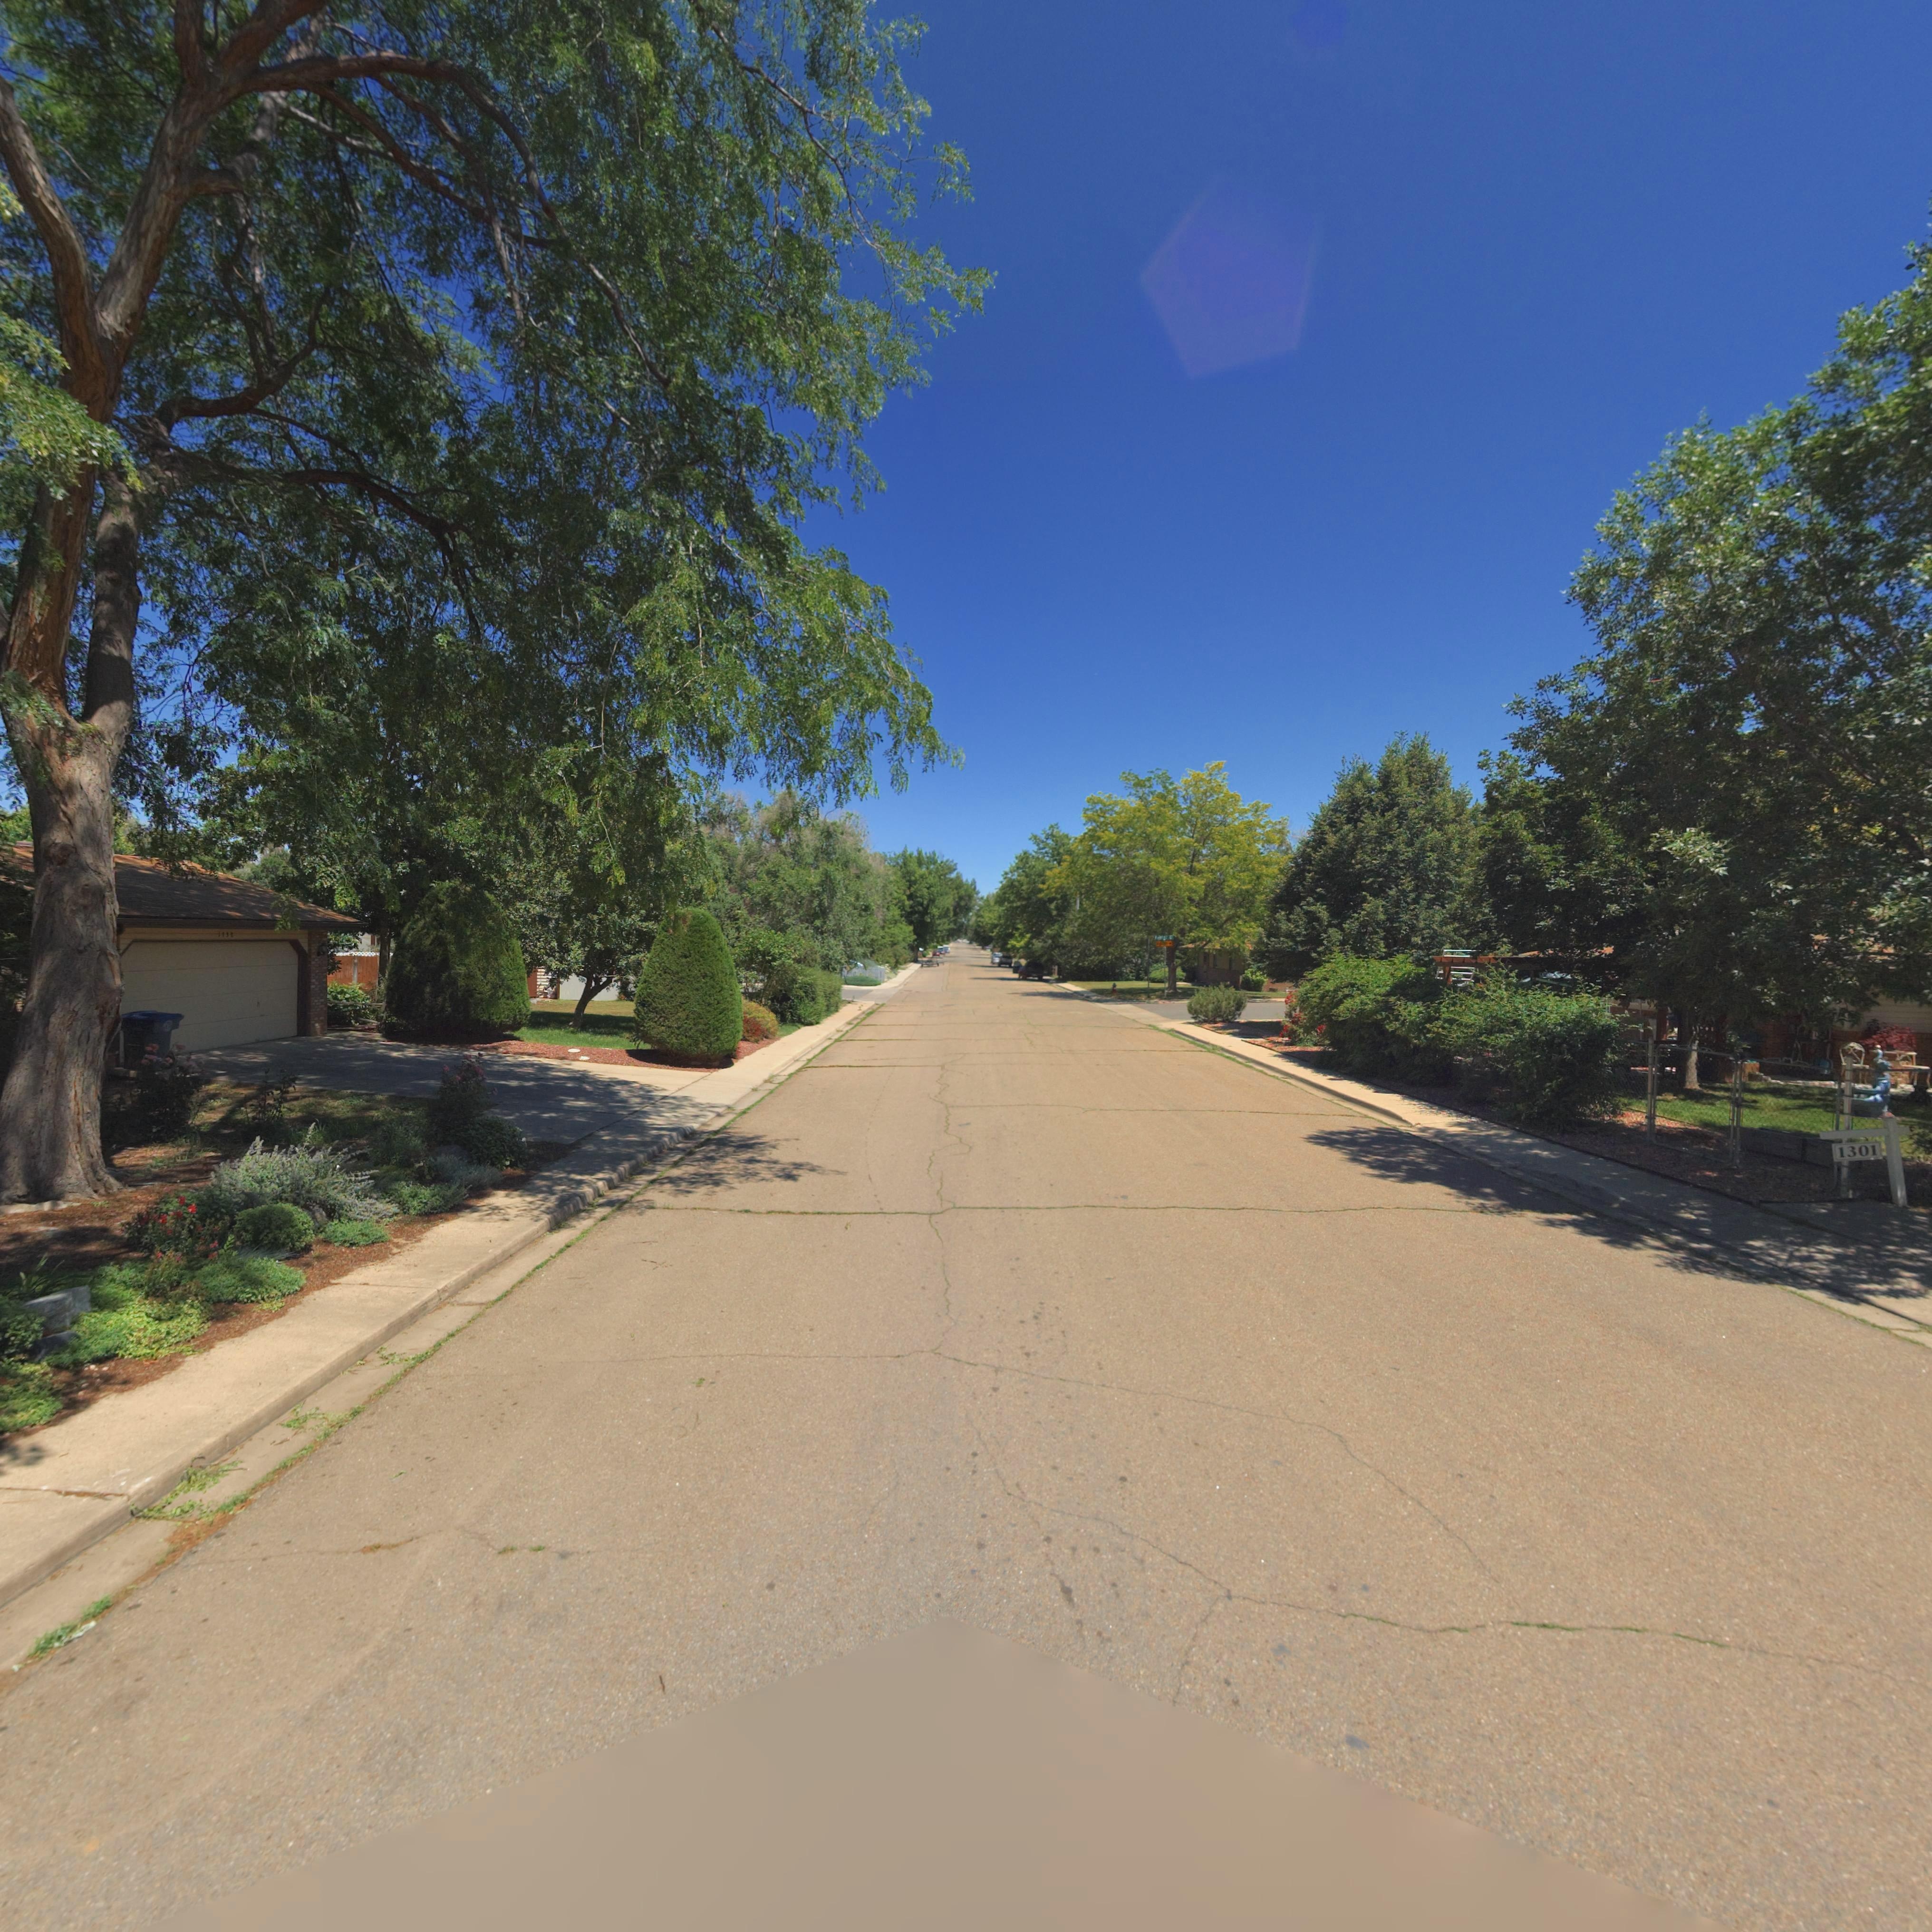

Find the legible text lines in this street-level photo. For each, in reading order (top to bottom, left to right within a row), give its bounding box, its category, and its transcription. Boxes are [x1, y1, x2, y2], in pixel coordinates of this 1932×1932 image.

[217, 931, 233, 938] StreetNumber: 1338
[1838, 1144, 1877, 1158] StreetNumber: 1301